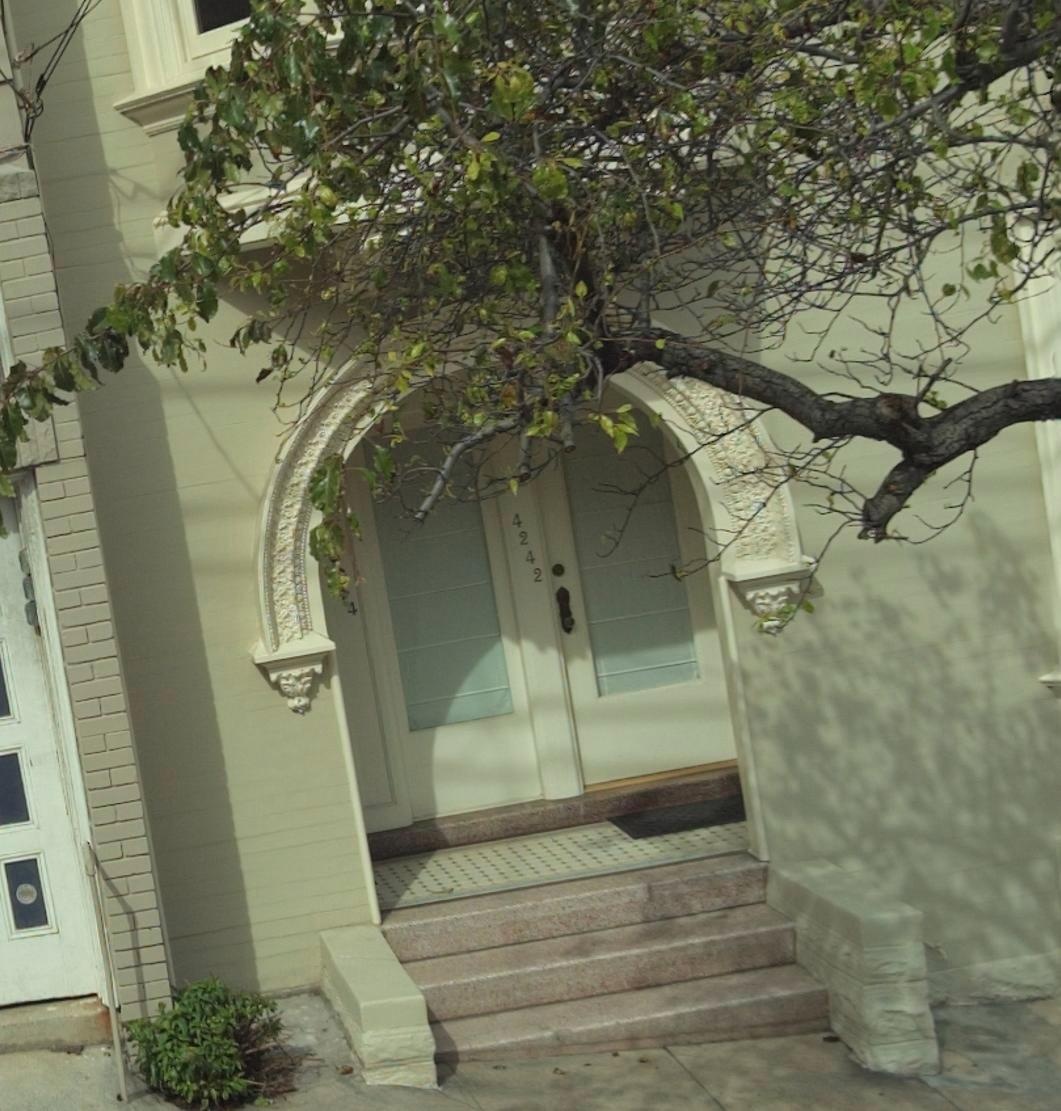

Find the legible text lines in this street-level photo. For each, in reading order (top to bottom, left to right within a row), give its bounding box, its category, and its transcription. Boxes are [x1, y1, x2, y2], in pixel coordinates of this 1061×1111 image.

[507, 510, 546, 584] StreetNumber: 4242